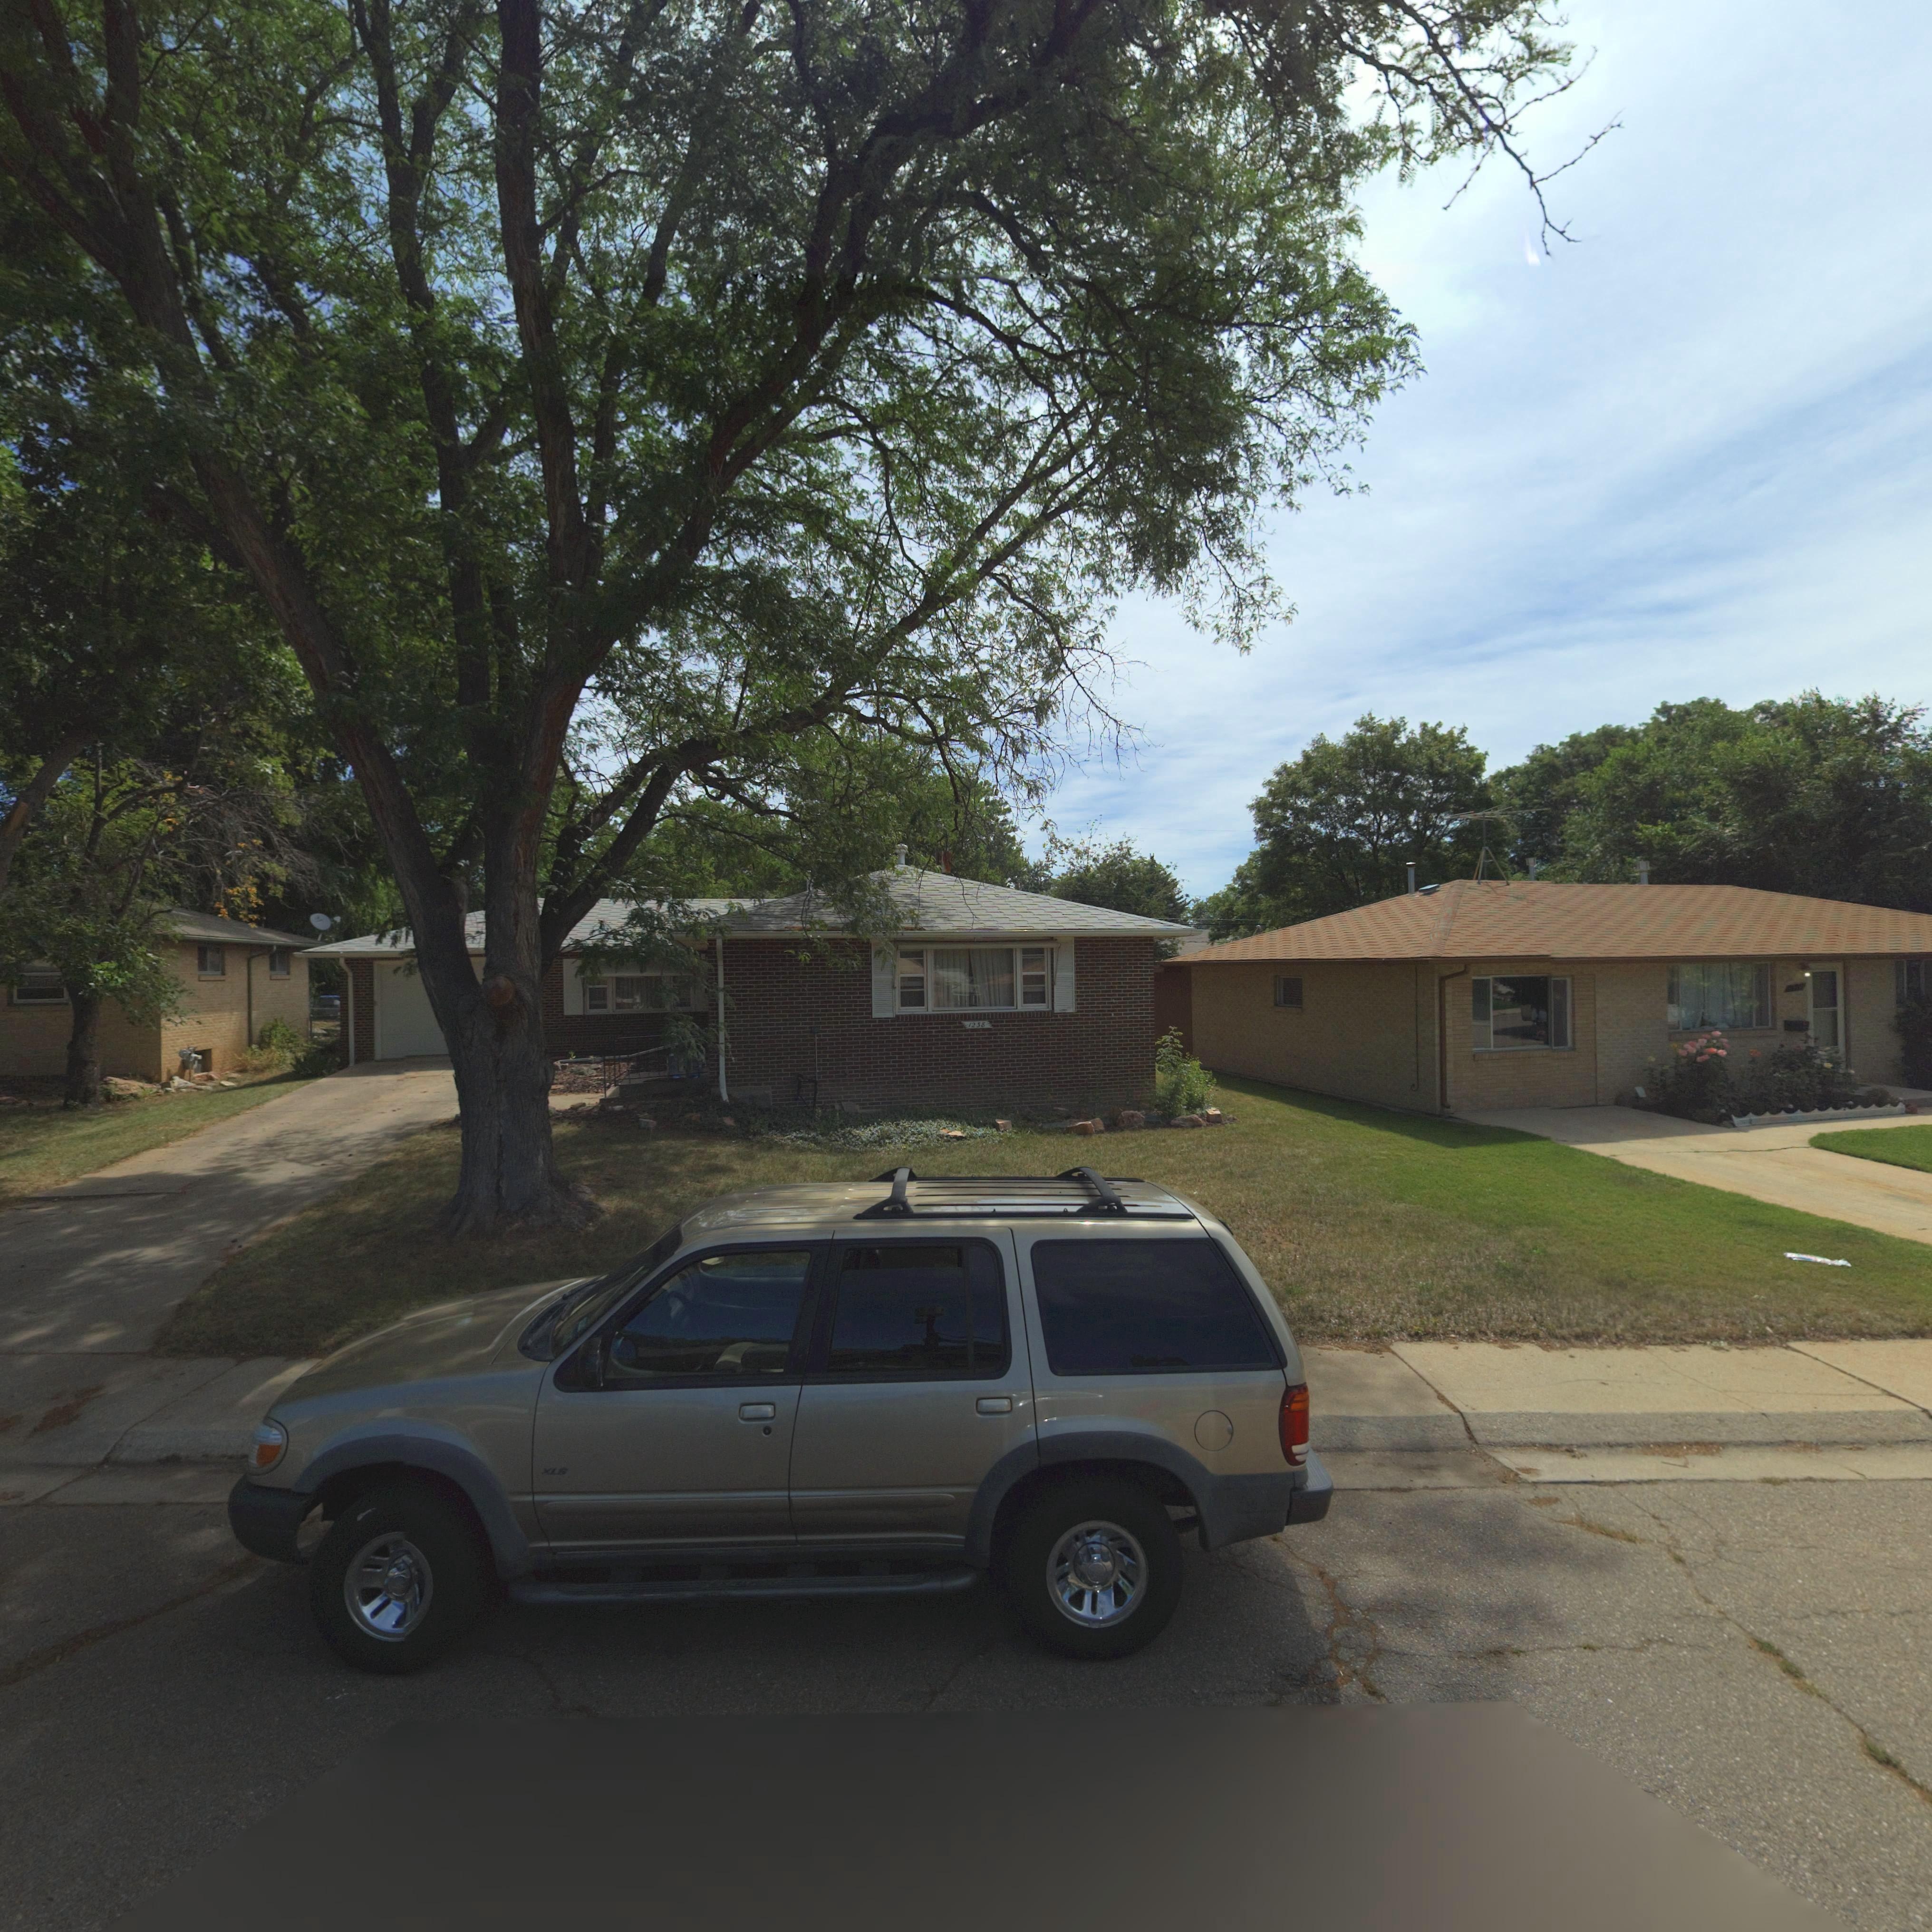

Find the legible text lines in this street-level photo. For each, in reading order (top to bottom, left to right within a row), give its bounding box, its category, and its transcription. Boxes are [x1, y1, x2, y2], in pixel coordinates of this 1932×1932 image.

[968, 1022, 985, 1027] StreetNumber: 1258